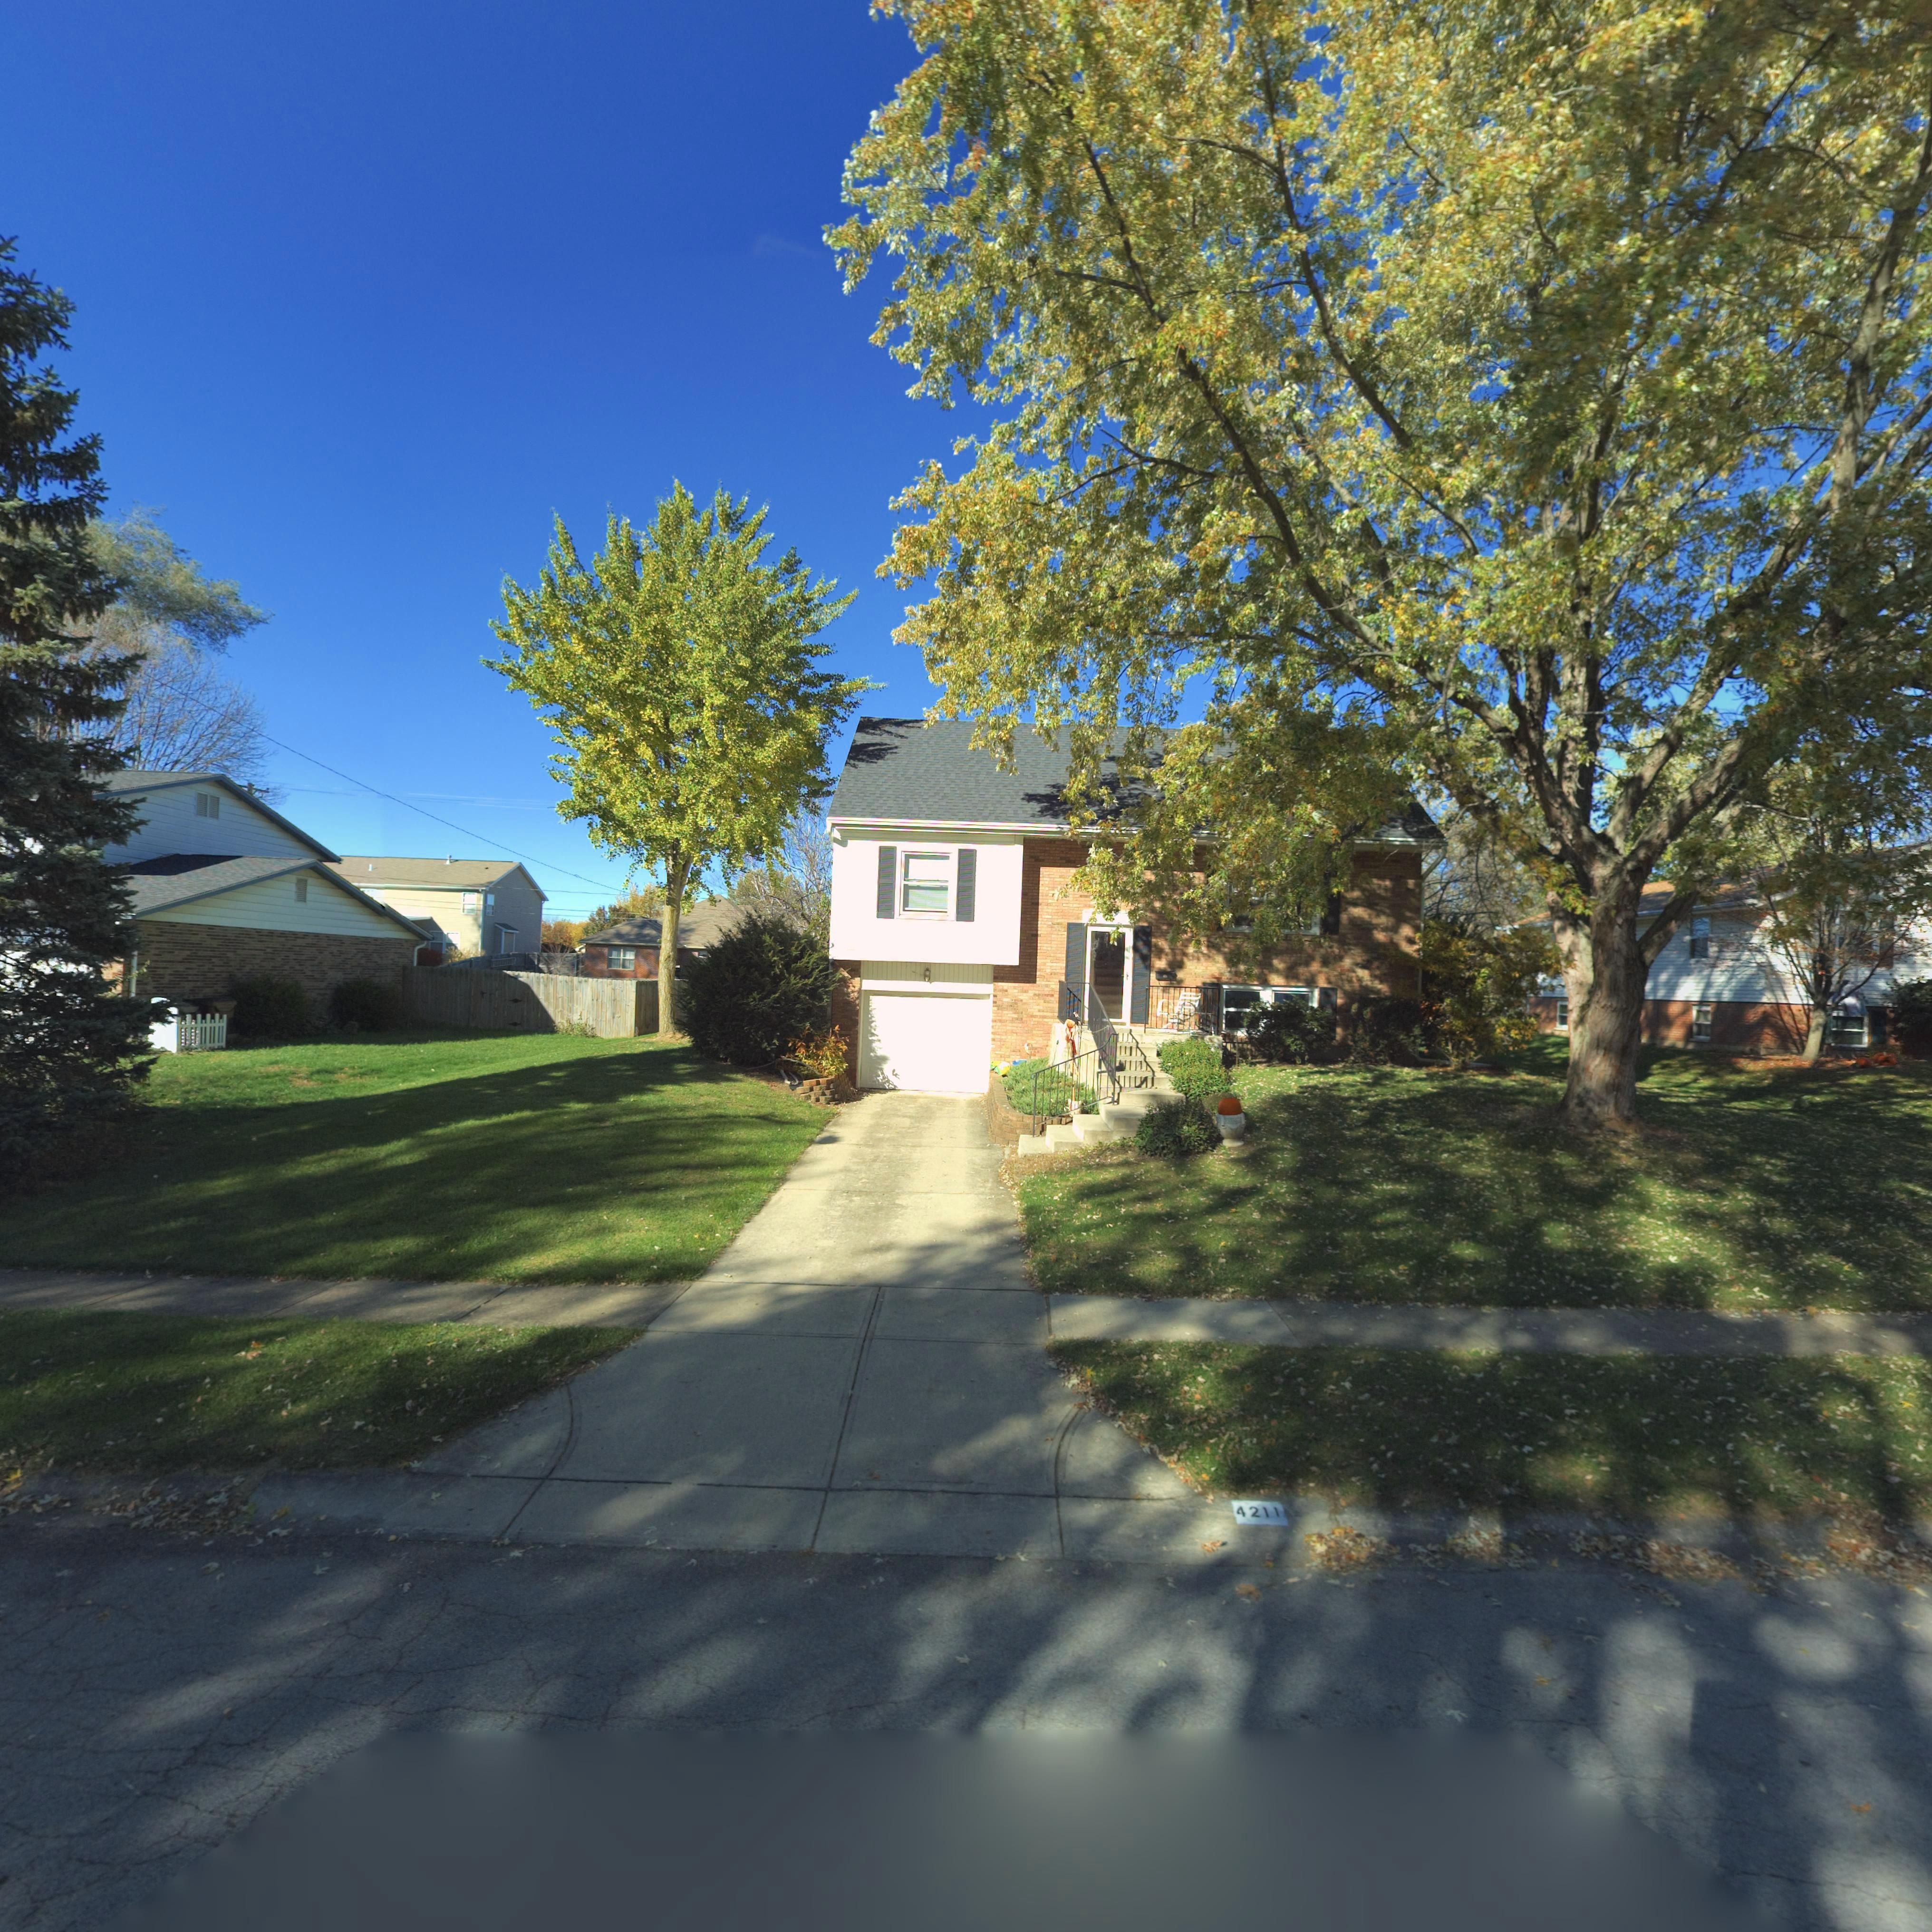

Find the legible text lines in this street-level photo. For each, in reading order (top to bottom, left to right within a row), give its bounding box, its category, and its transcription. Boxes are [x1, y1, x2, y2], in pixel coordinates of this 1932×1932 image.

[1234, 1504, 1282, 1519] StreetNumber: 4211